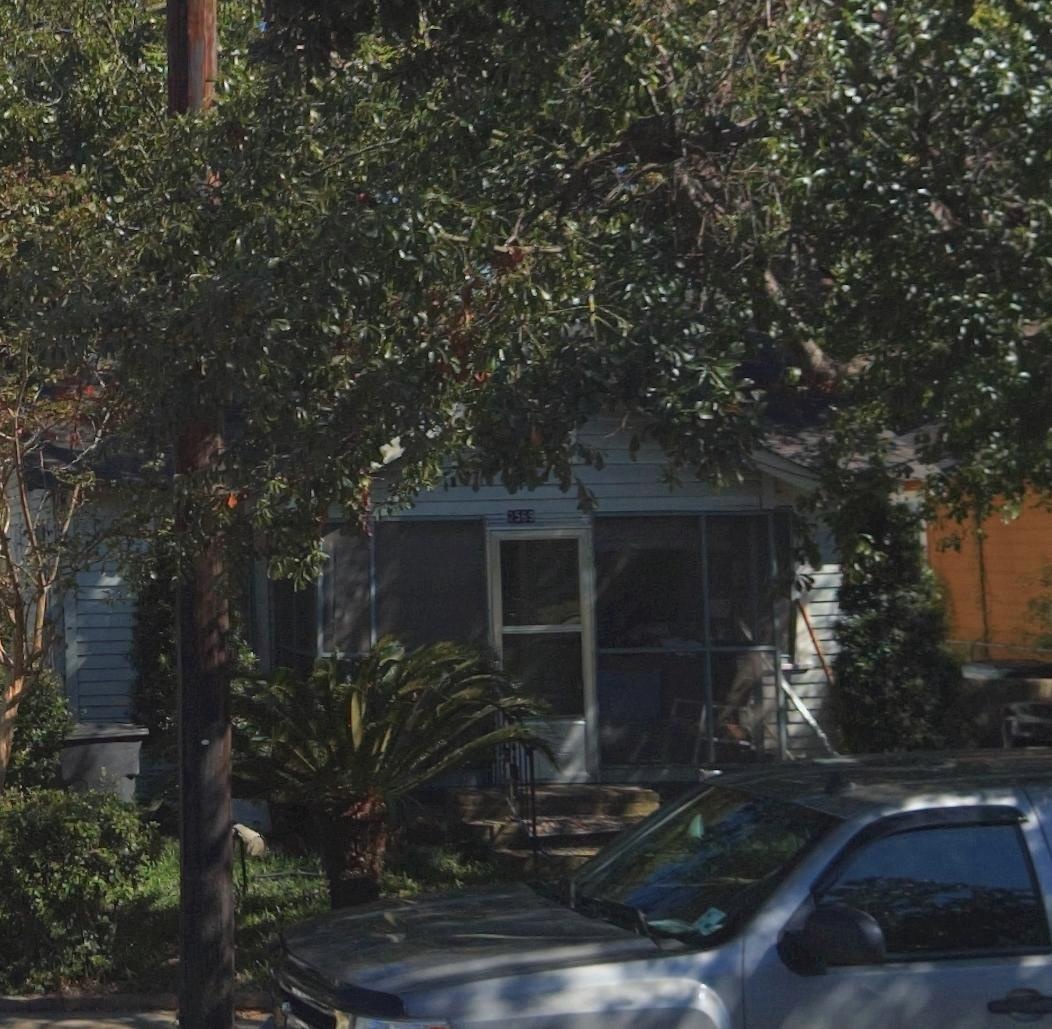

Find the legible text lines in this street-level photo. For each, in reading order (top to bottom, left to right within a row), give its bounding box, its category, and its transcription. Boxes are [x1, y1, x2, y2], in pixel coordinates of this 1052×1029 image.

[506, 509, 537, 524] StreetNumber: 256*